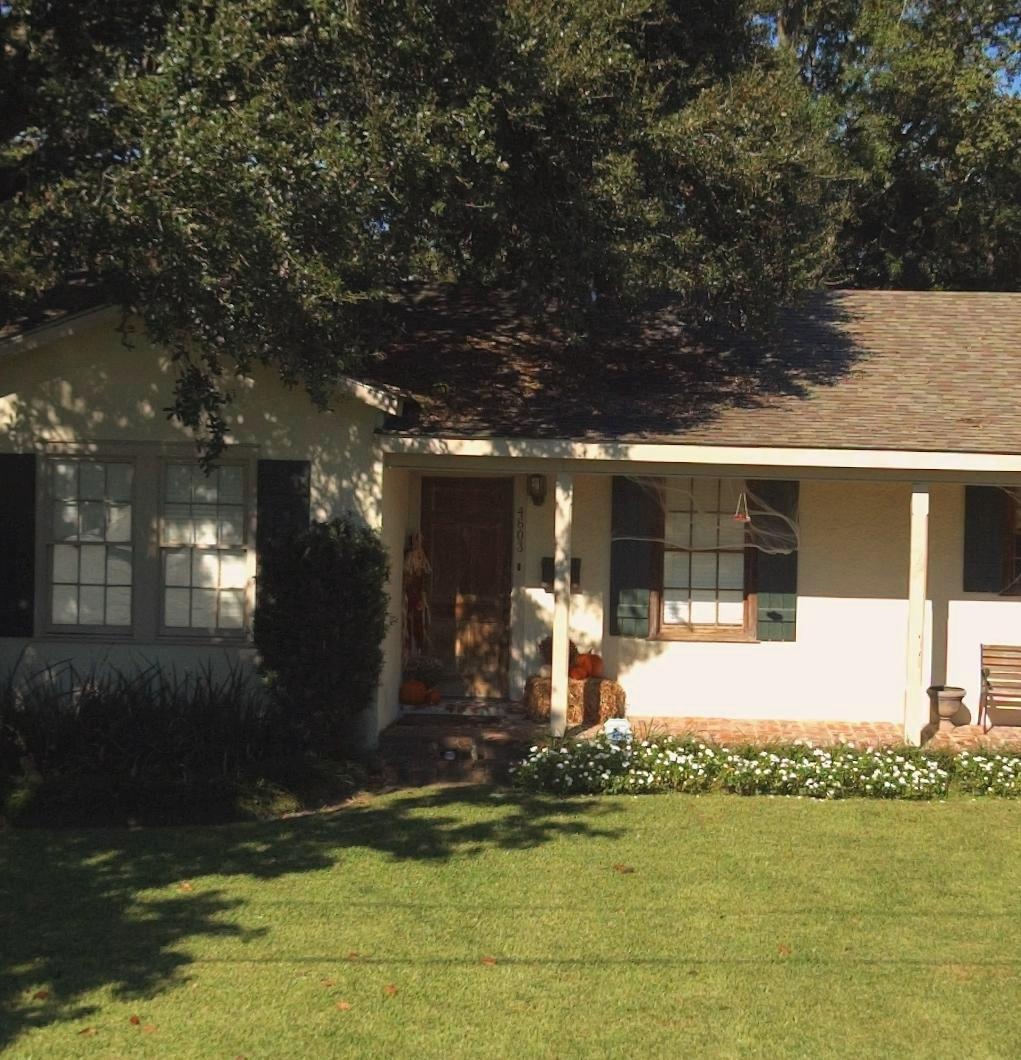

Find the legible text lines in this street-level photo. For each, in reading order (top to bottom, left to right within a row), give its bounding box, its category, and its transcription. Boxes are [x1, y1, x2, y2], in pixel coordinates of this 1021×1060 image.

[514, 504, 526, 554] StreetNumber: 4603